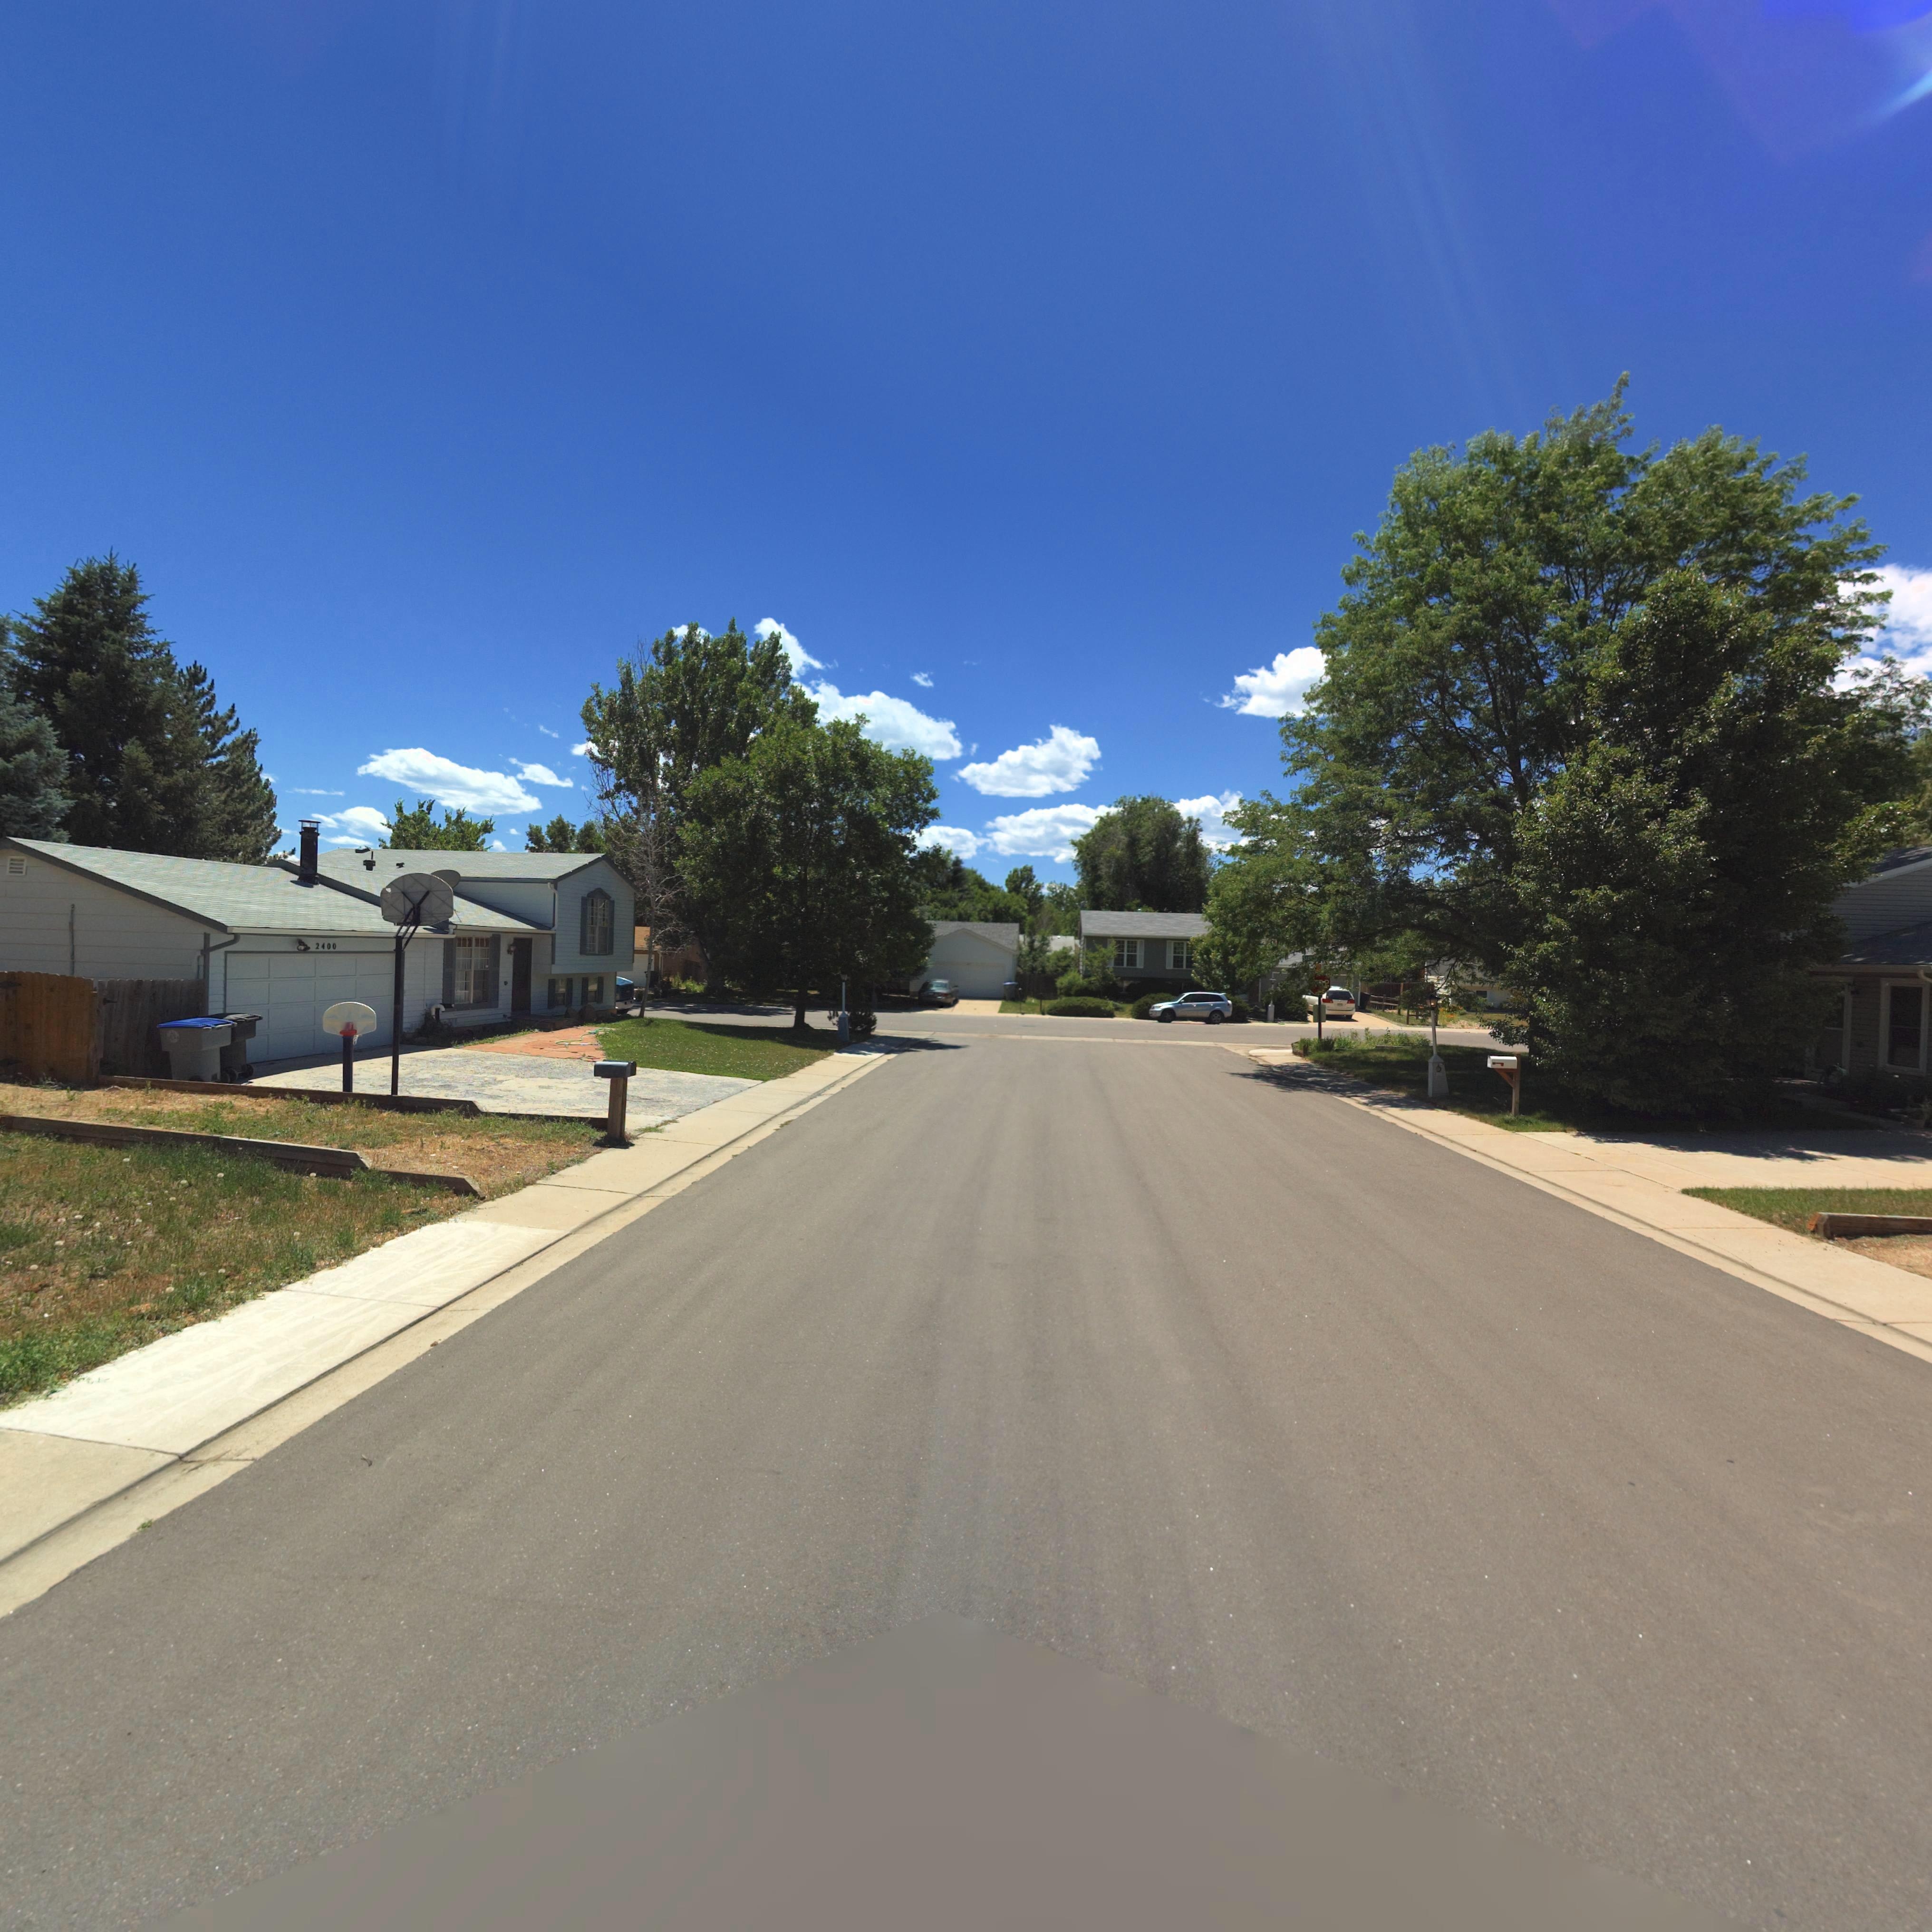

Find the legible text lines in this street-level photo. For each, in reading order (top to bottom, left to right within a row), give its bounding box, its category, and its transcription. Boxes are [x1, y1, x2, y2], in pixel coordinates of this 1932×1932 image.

[315, 942, 337, 949] StreetNumber: 2400
[1302, 956, 1324, 961] StreetName: SU*S***